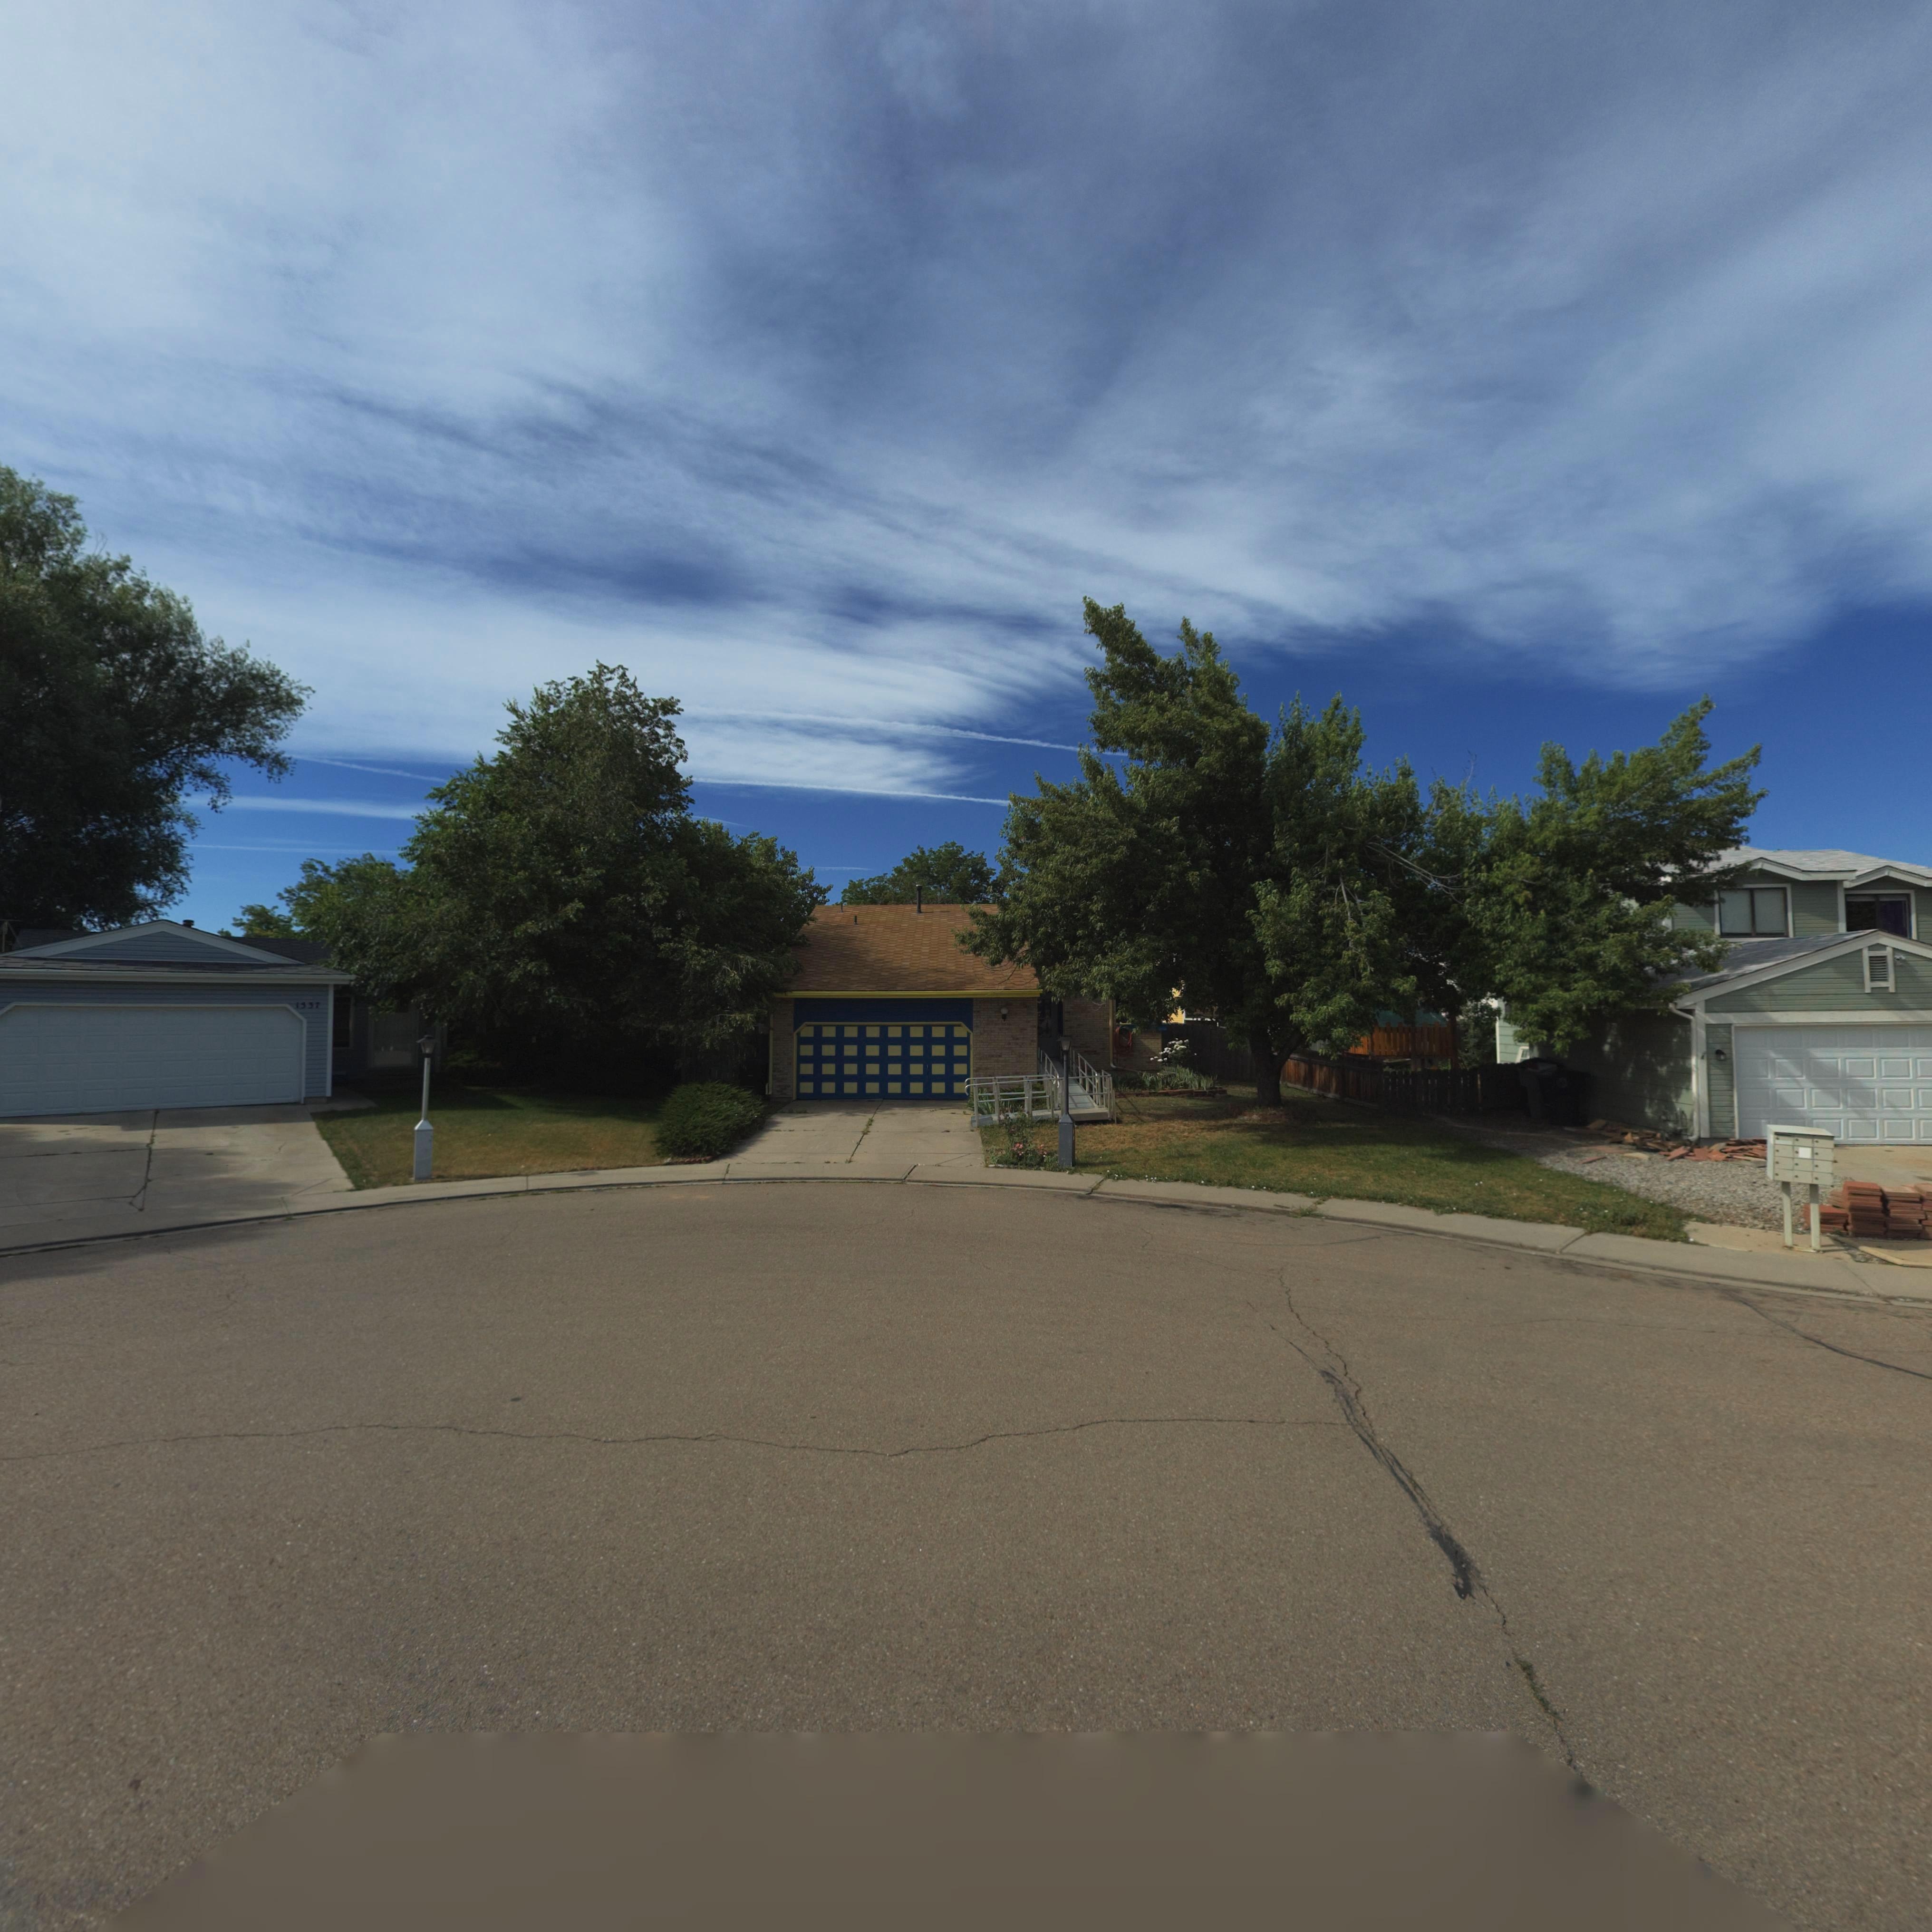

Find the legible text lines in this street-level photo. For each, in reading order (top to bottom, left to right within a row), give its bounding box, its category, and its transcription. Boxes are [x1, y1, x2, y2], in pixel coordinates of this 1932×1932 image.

[296, 1001, 320, 1008] StreetNumber: 1337